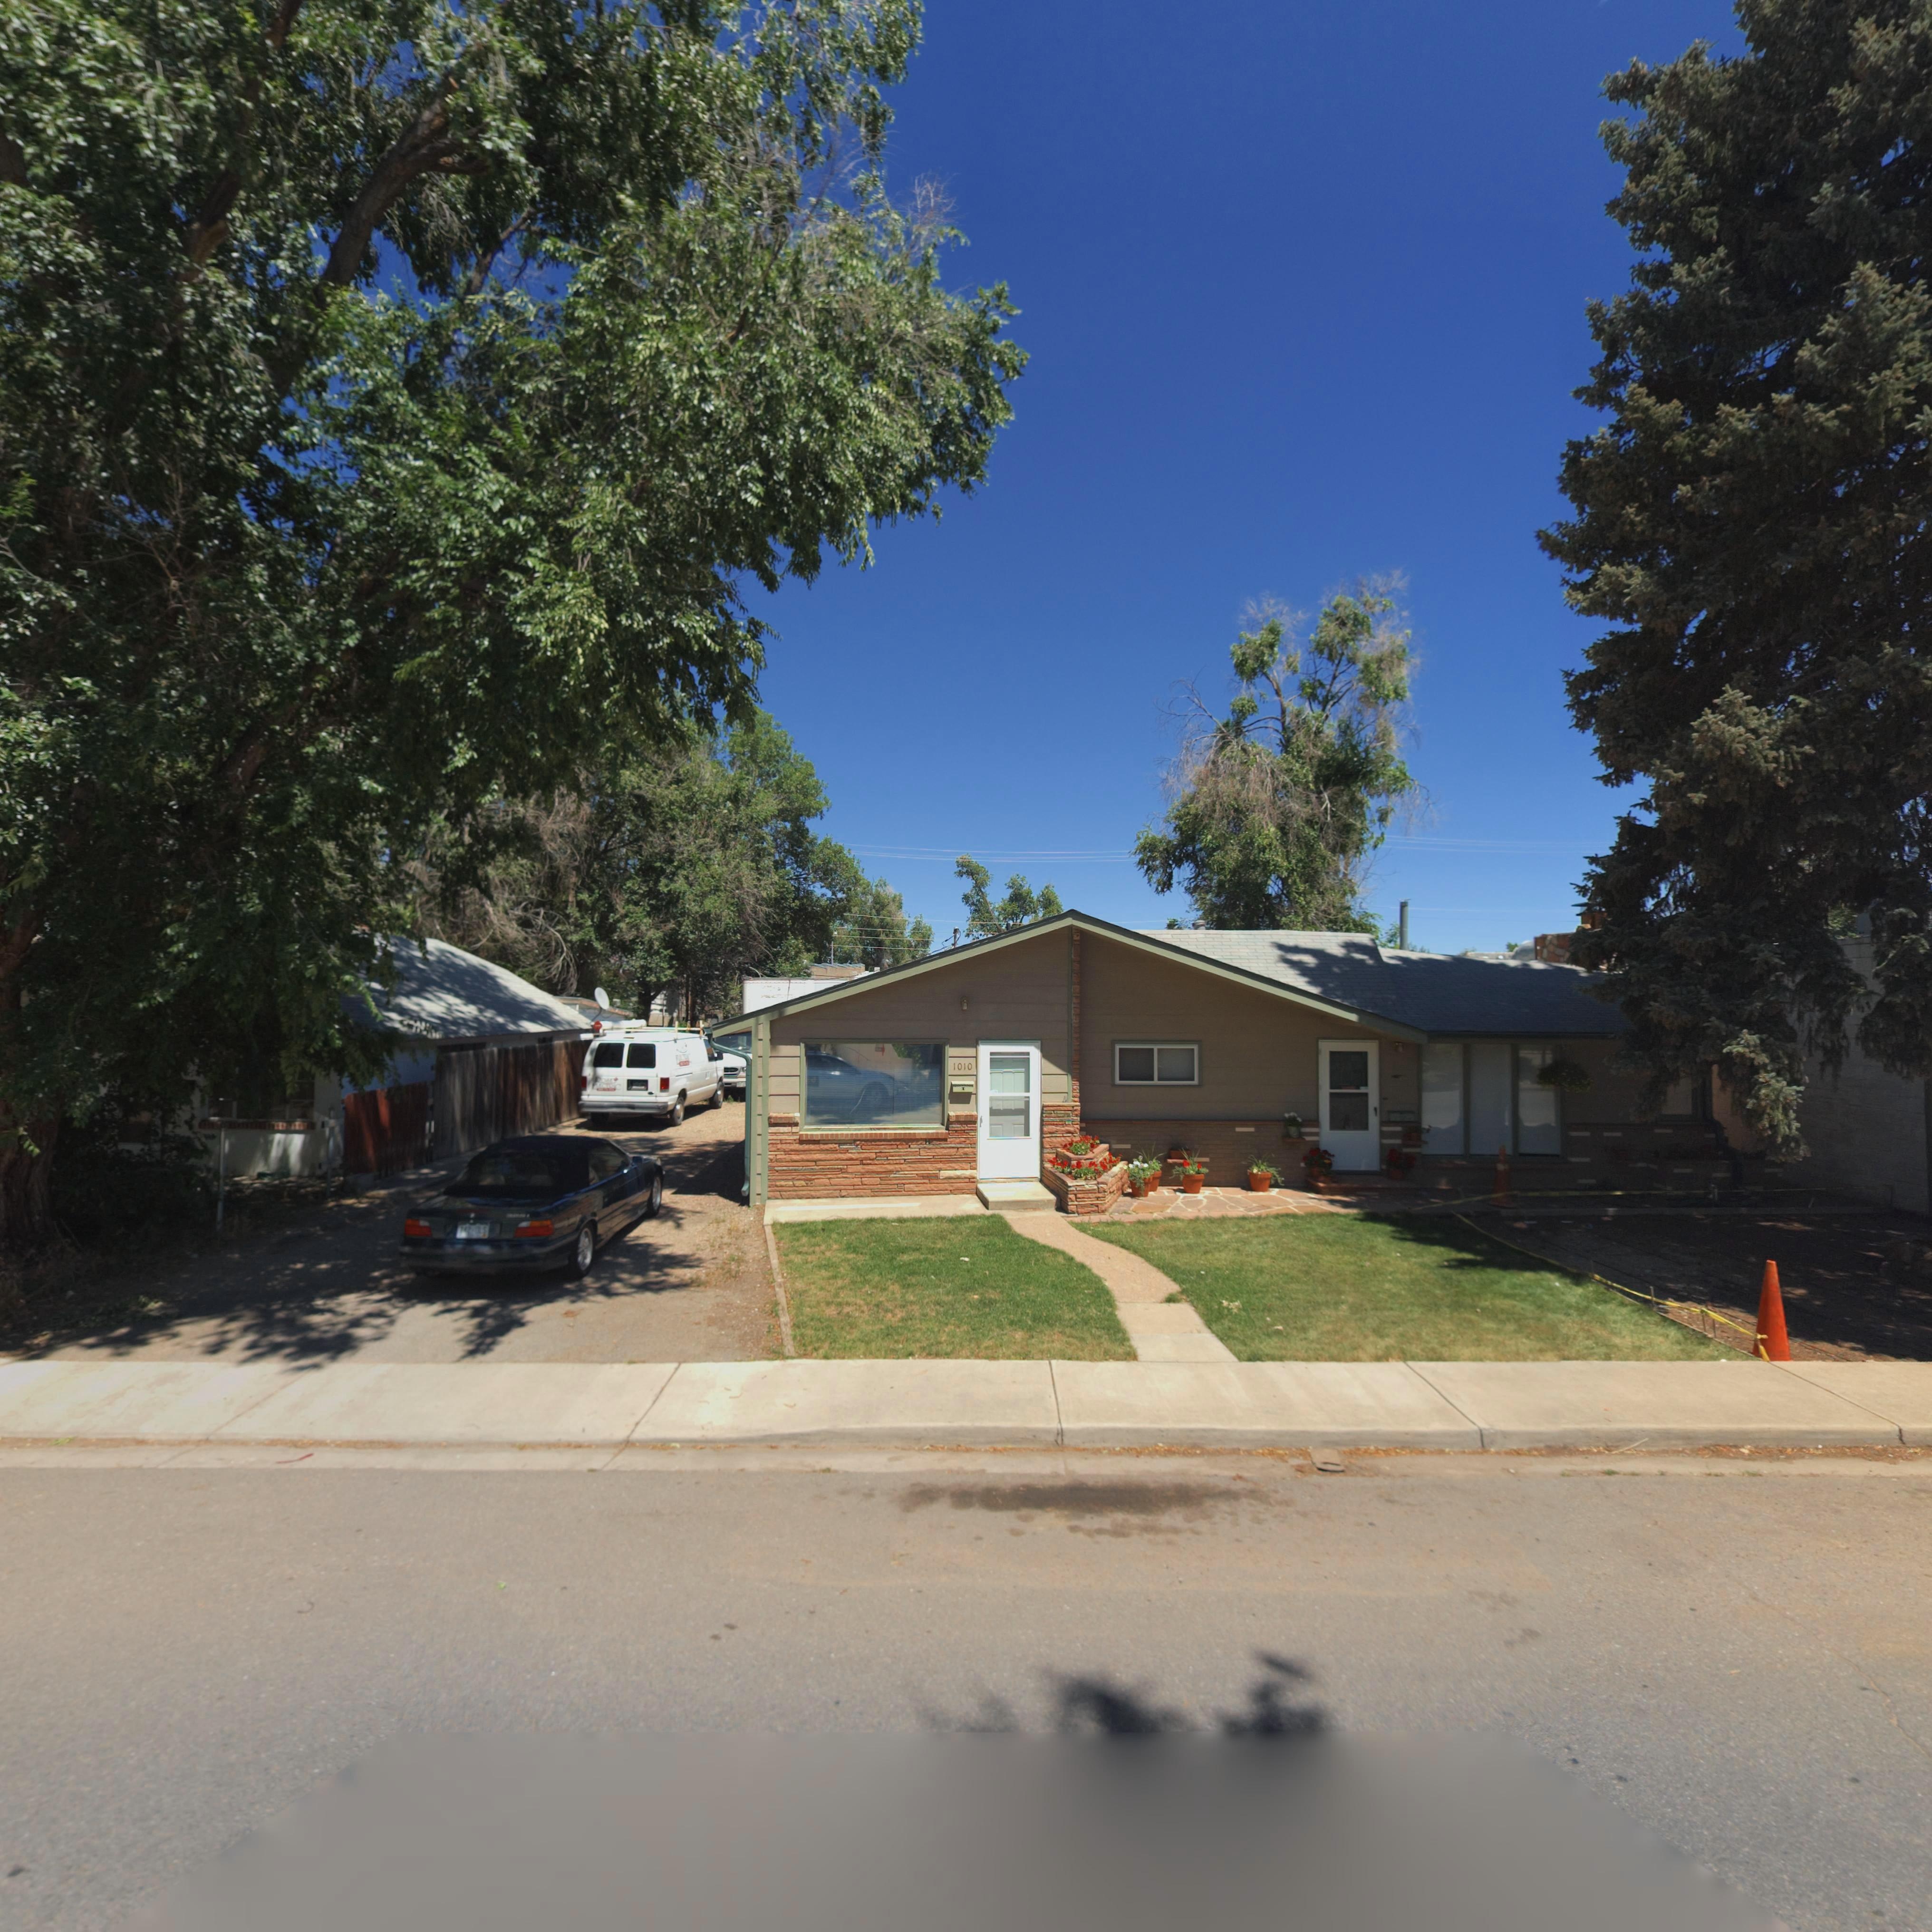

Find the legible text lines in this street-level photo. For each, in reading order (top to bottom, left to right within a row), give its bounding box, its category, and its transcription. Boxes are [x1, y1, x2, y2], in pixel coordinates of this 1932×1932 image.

[953, 1062, 972, 1070] StreetNumber: 1010